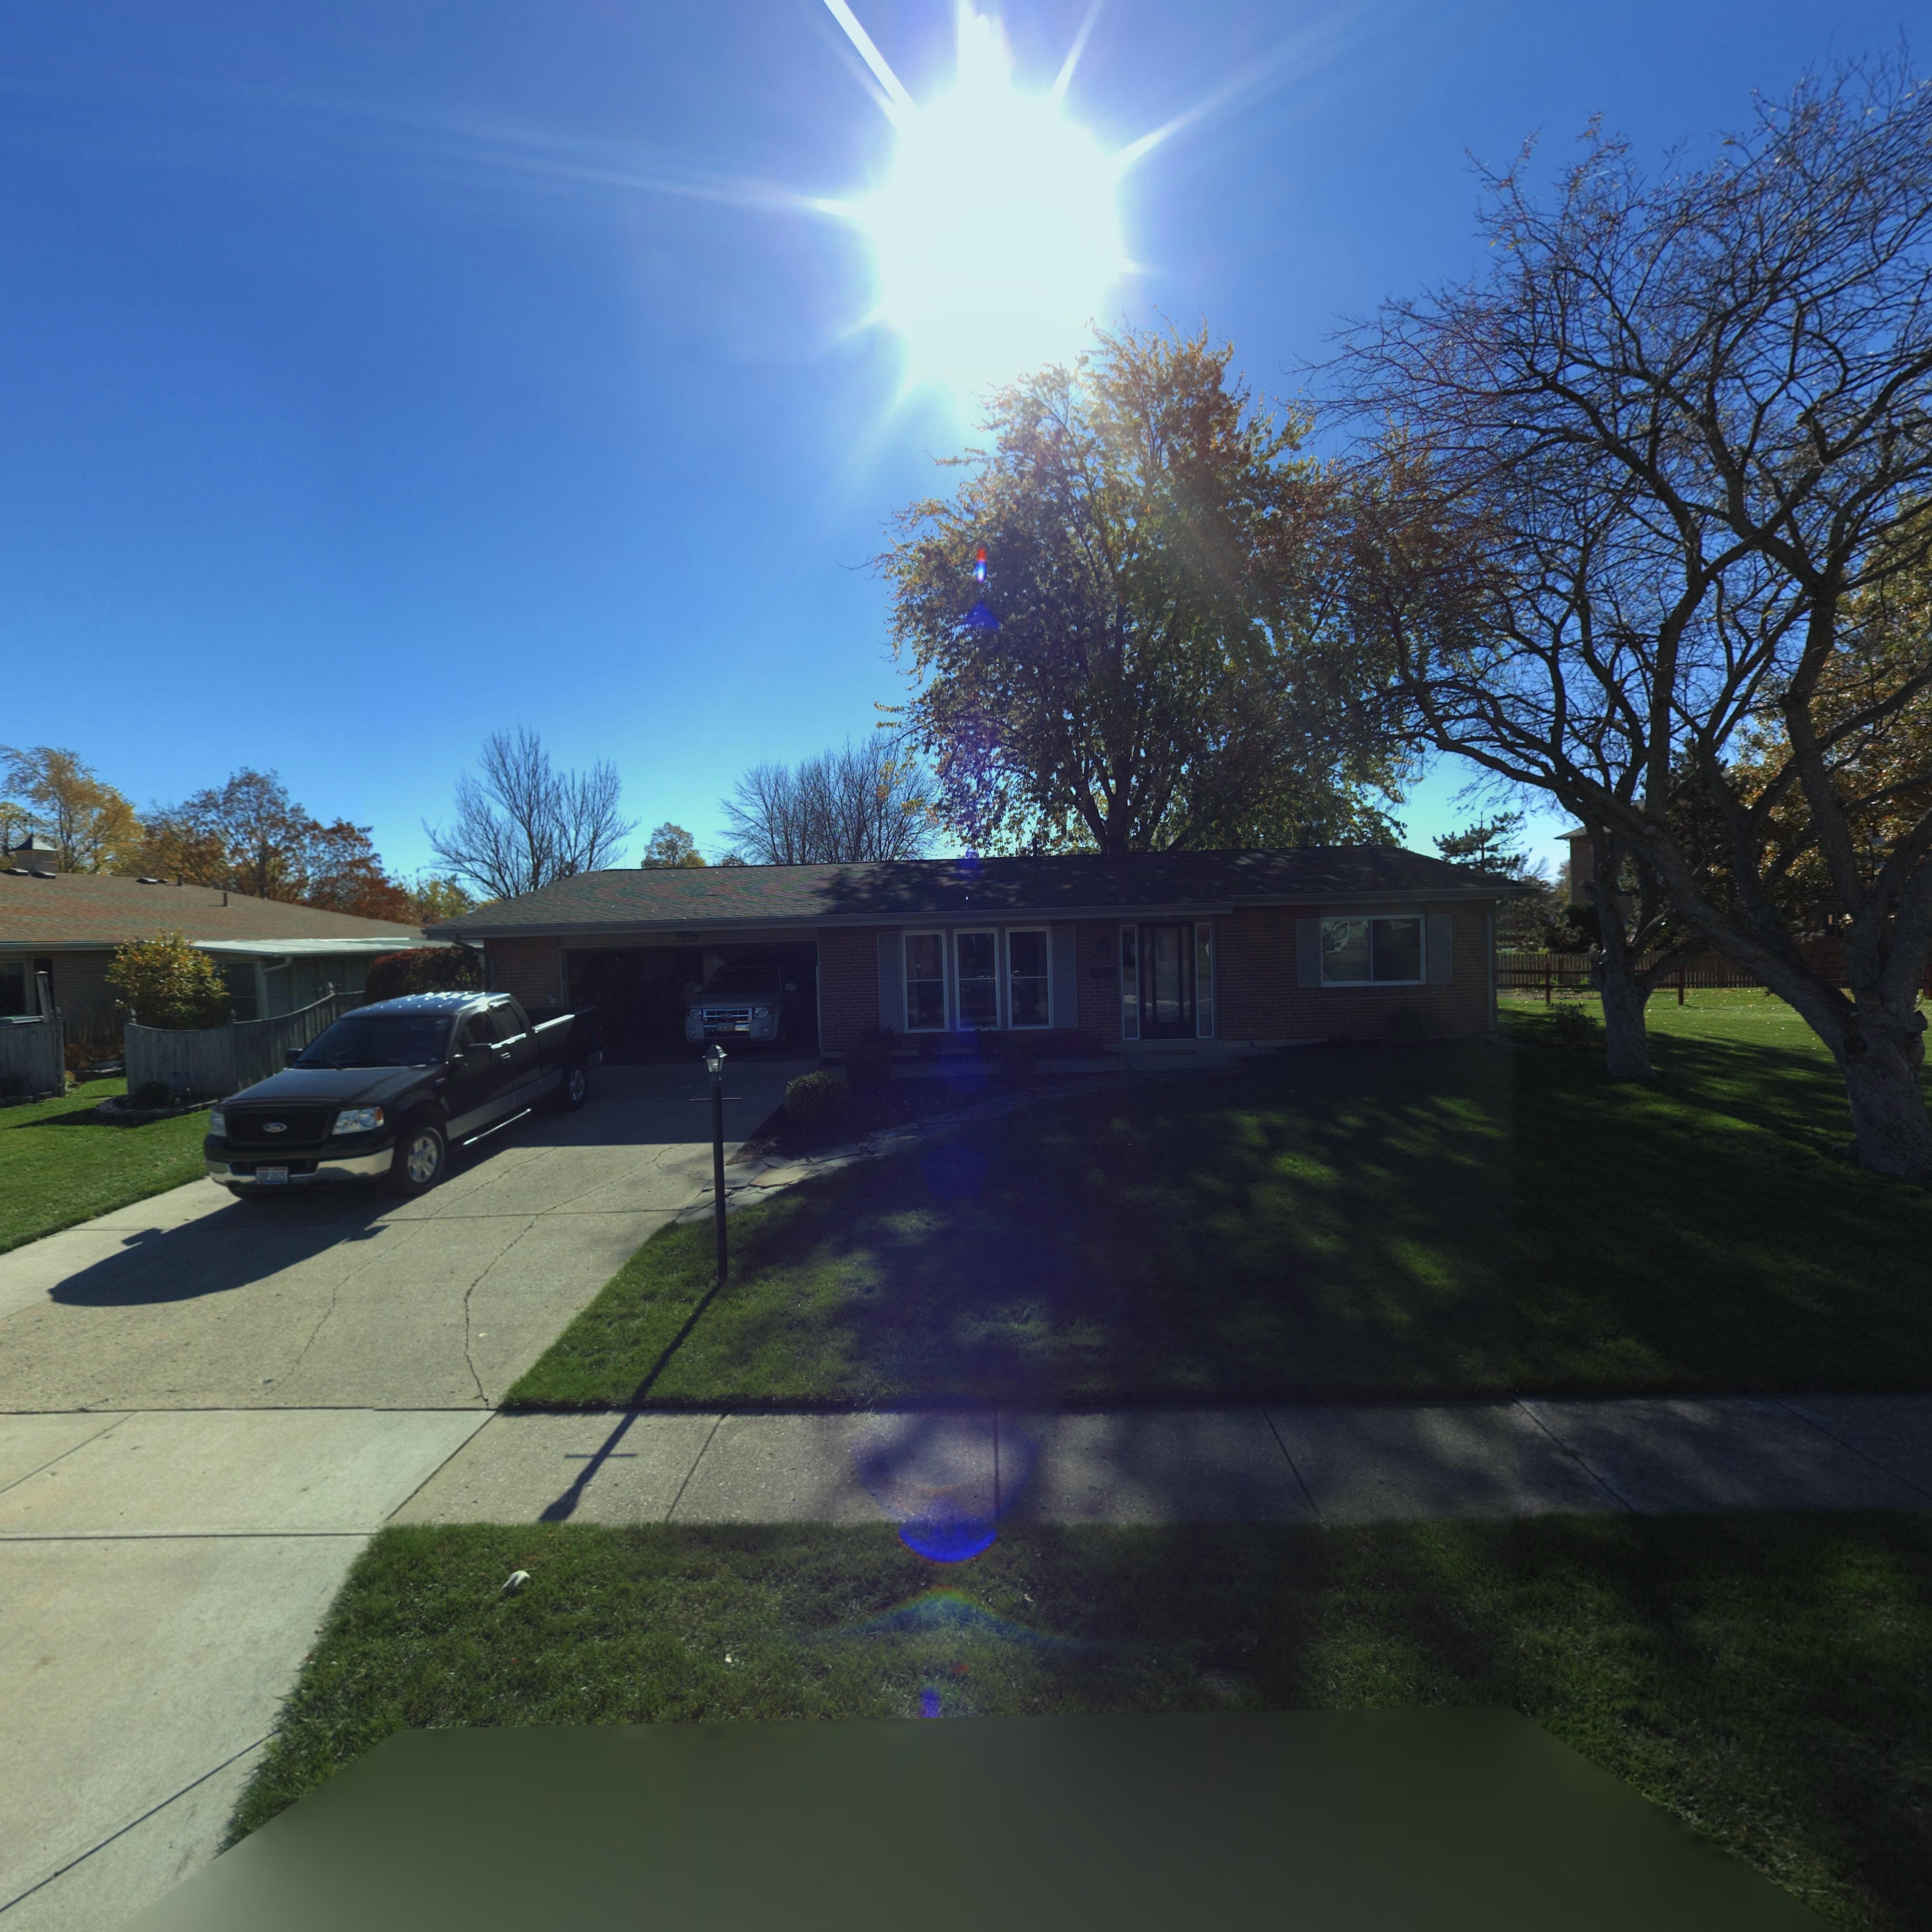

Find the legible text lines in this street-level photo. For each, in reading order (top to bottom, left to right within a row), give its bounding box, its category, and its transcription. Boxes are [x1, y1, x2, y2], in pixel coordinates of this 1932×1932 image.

[687, 933, 699, 942] StreetNumber: 79